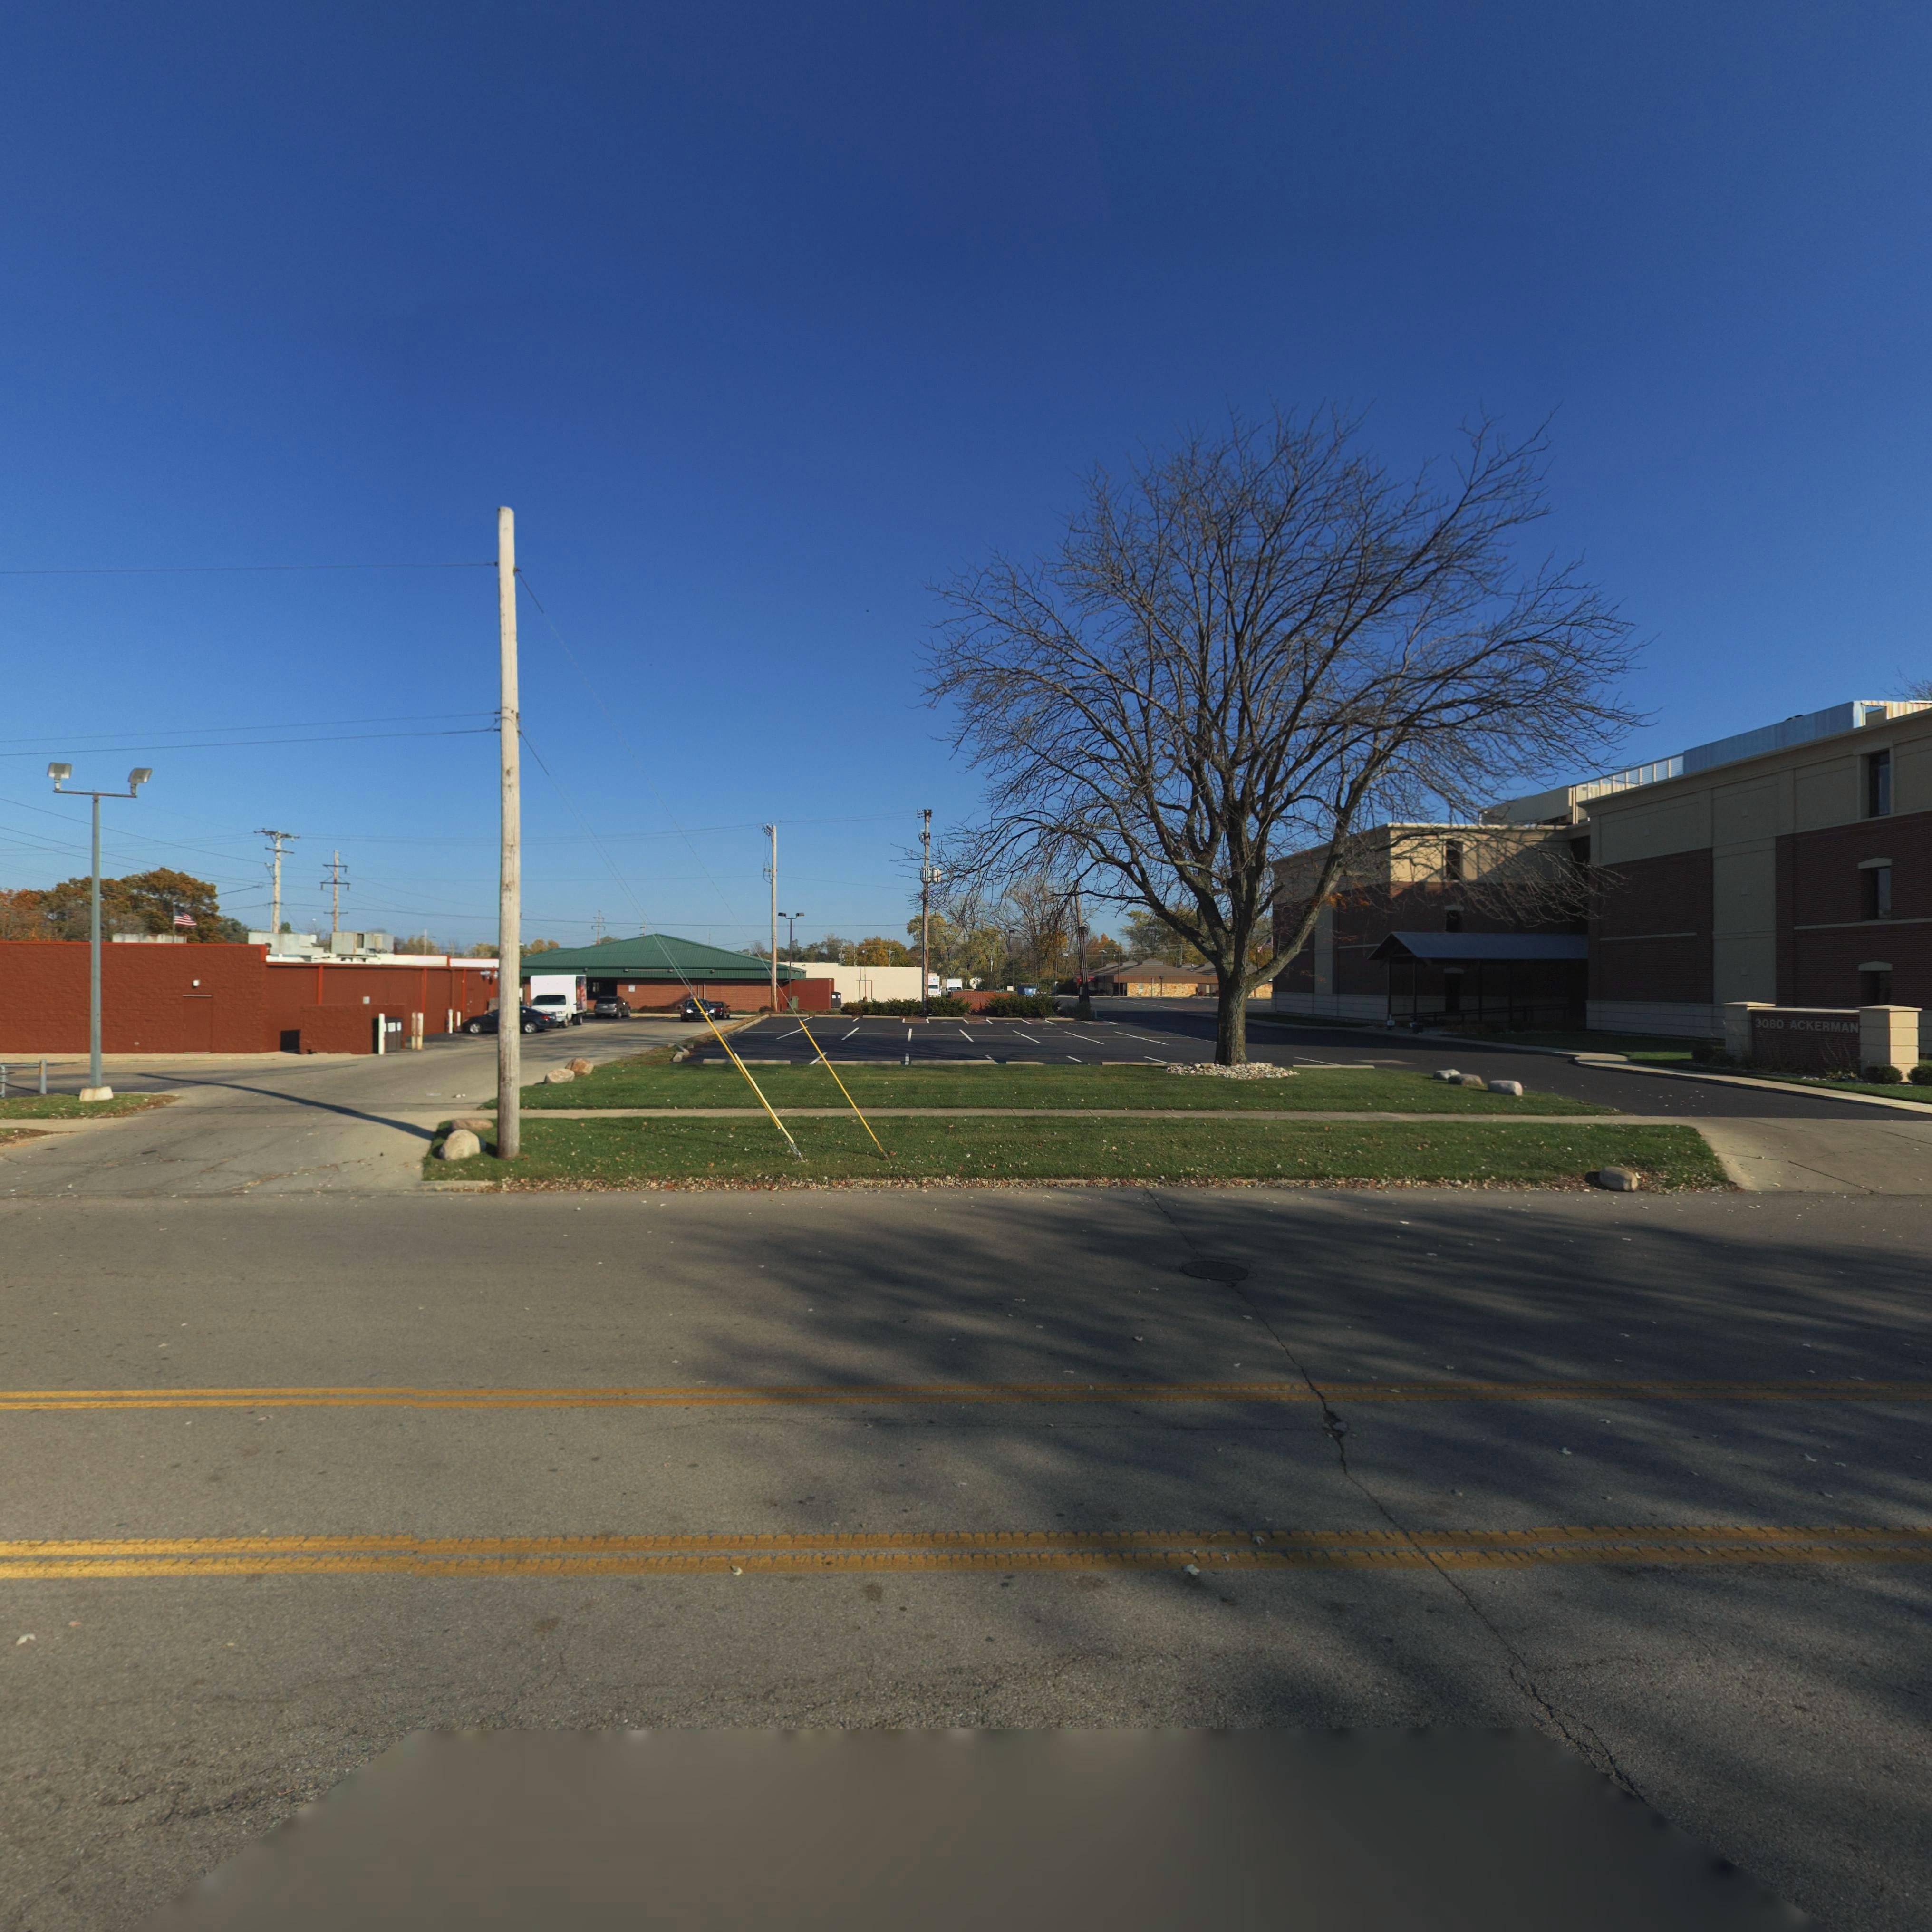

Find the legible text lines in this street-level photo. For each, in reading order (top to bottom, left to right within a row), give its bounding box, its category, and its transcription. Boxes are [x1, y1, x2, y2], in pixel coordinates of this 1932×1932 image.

[1754, 1017, 1785, 1031] StreetNumber: 3080
[1788, 1019, 1859, 1034] StreetName: ACKERMAN